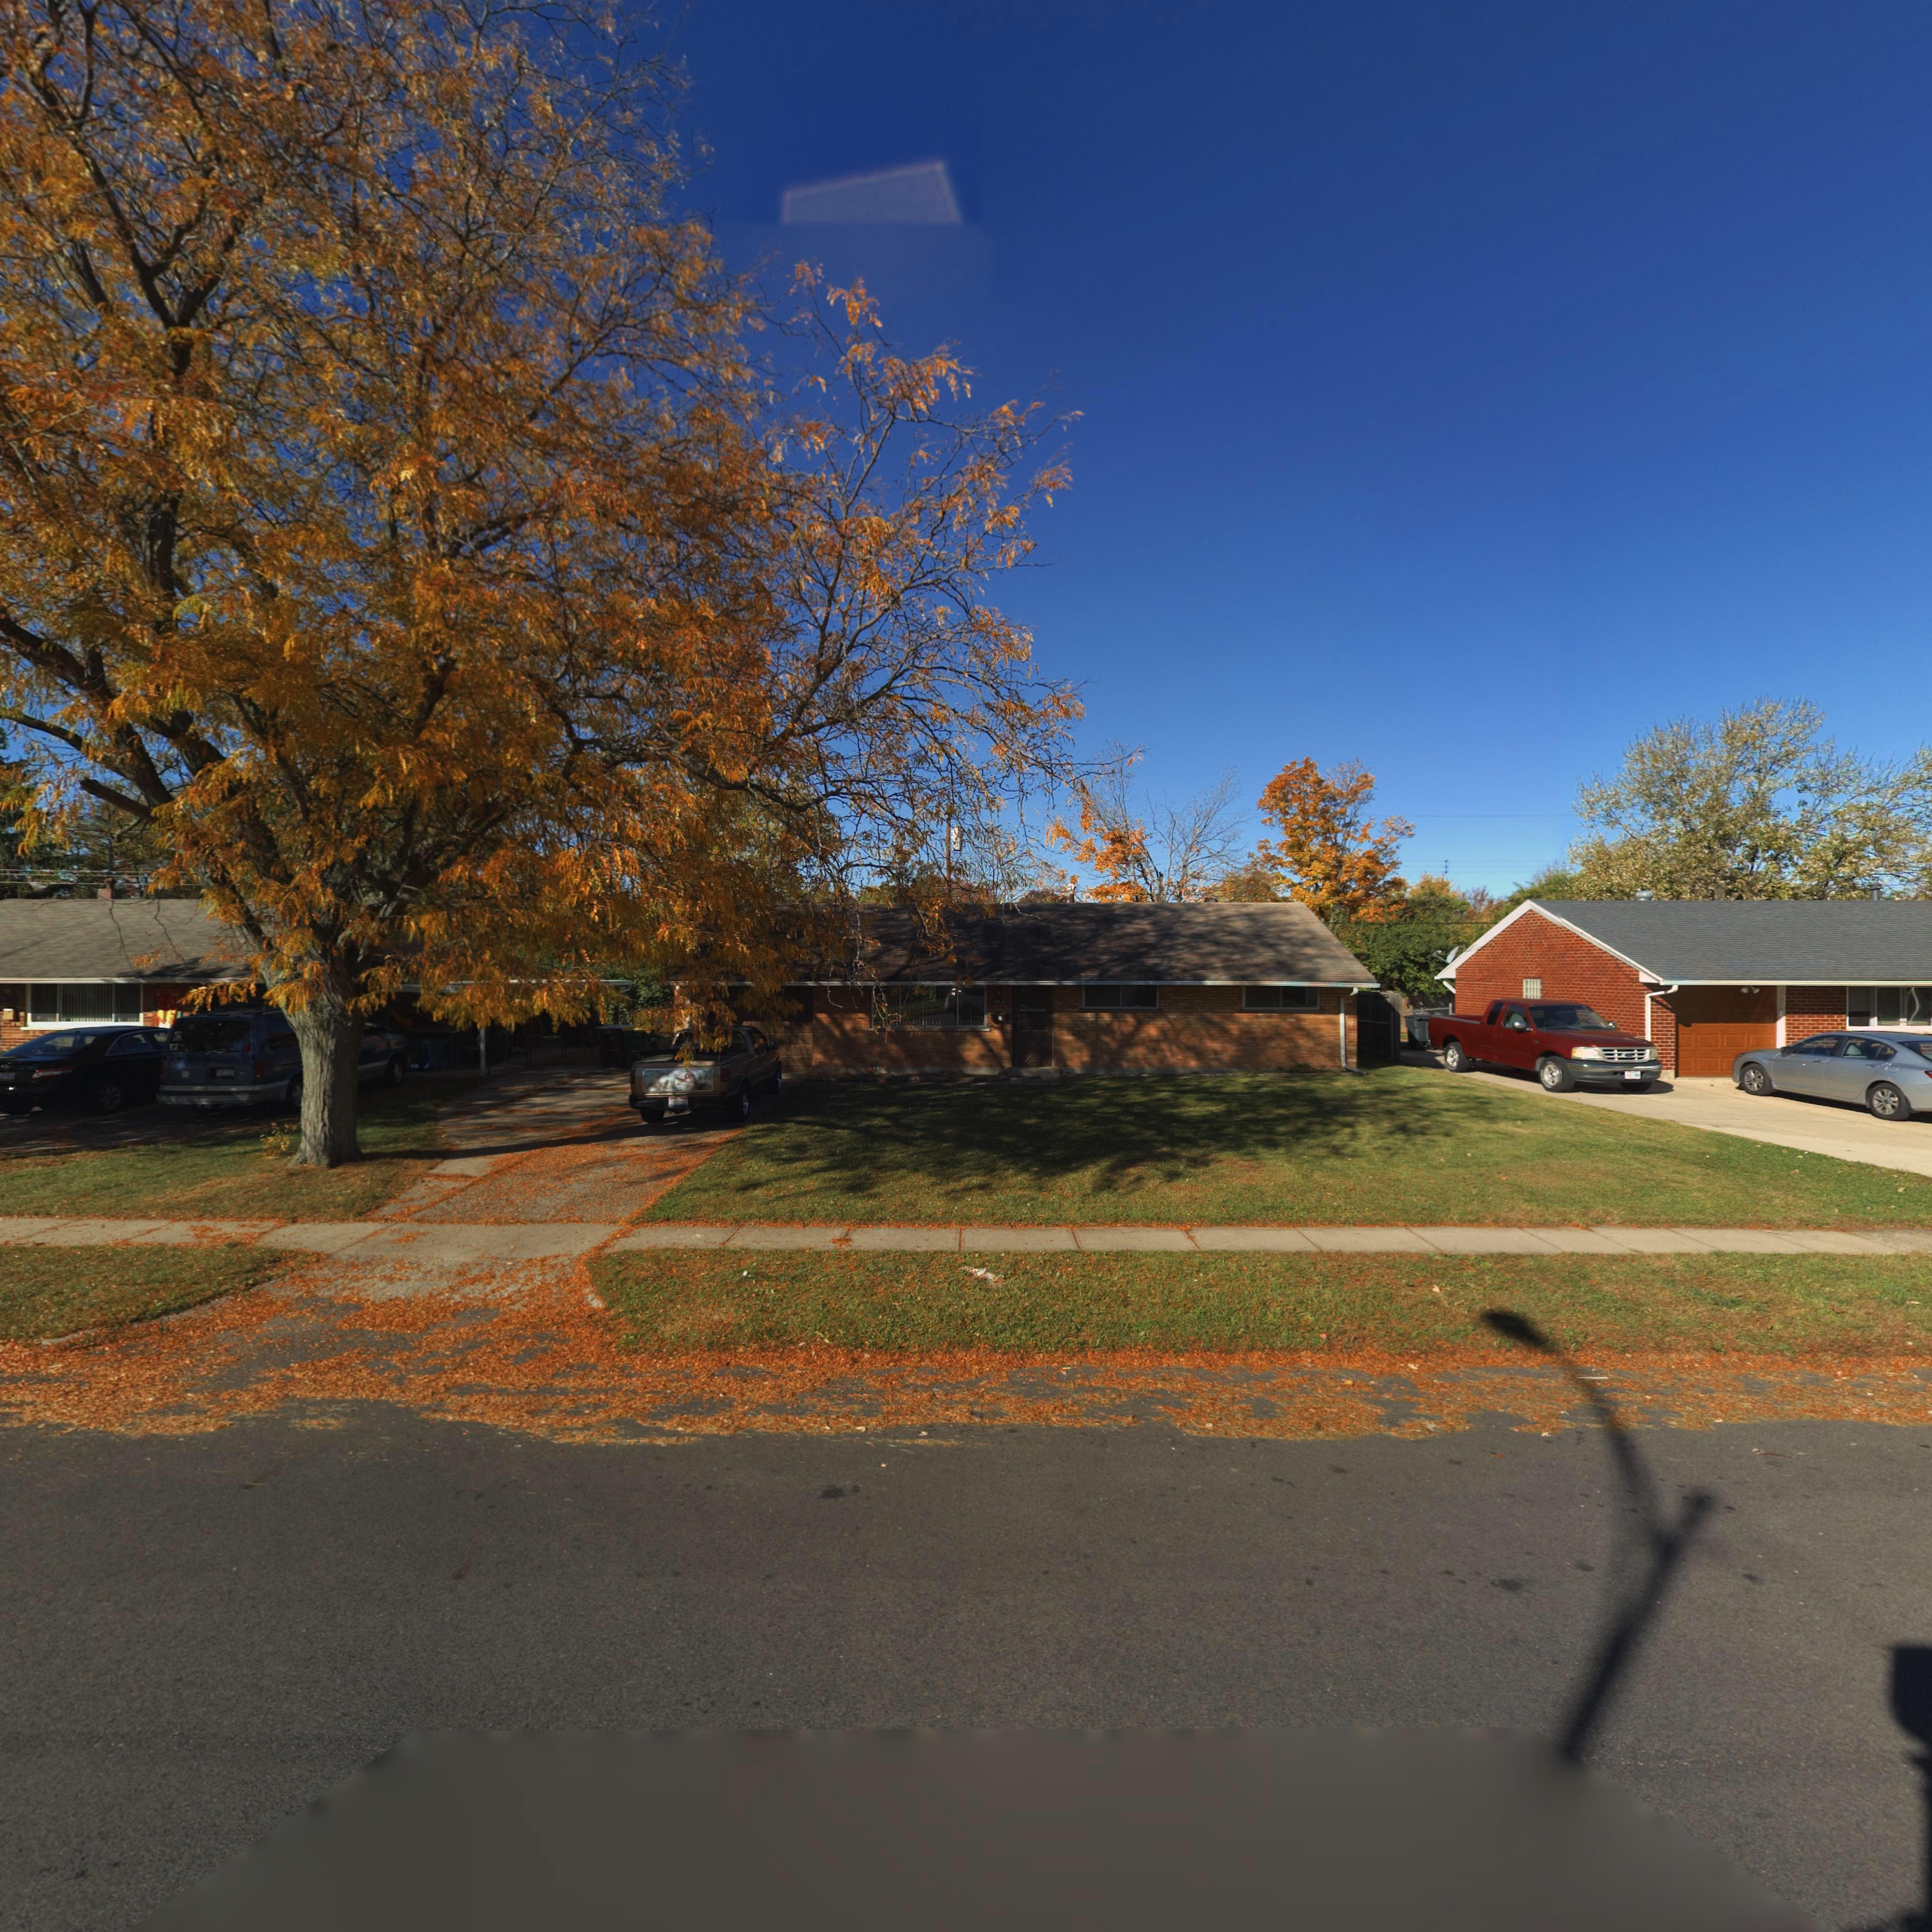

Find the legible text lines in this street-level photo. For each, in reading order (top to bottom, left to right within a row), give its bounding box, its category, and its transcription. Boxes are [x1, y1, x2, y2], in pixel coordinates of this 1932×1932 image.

[994, 999, 1007, 1005] StreetNumber: 4741